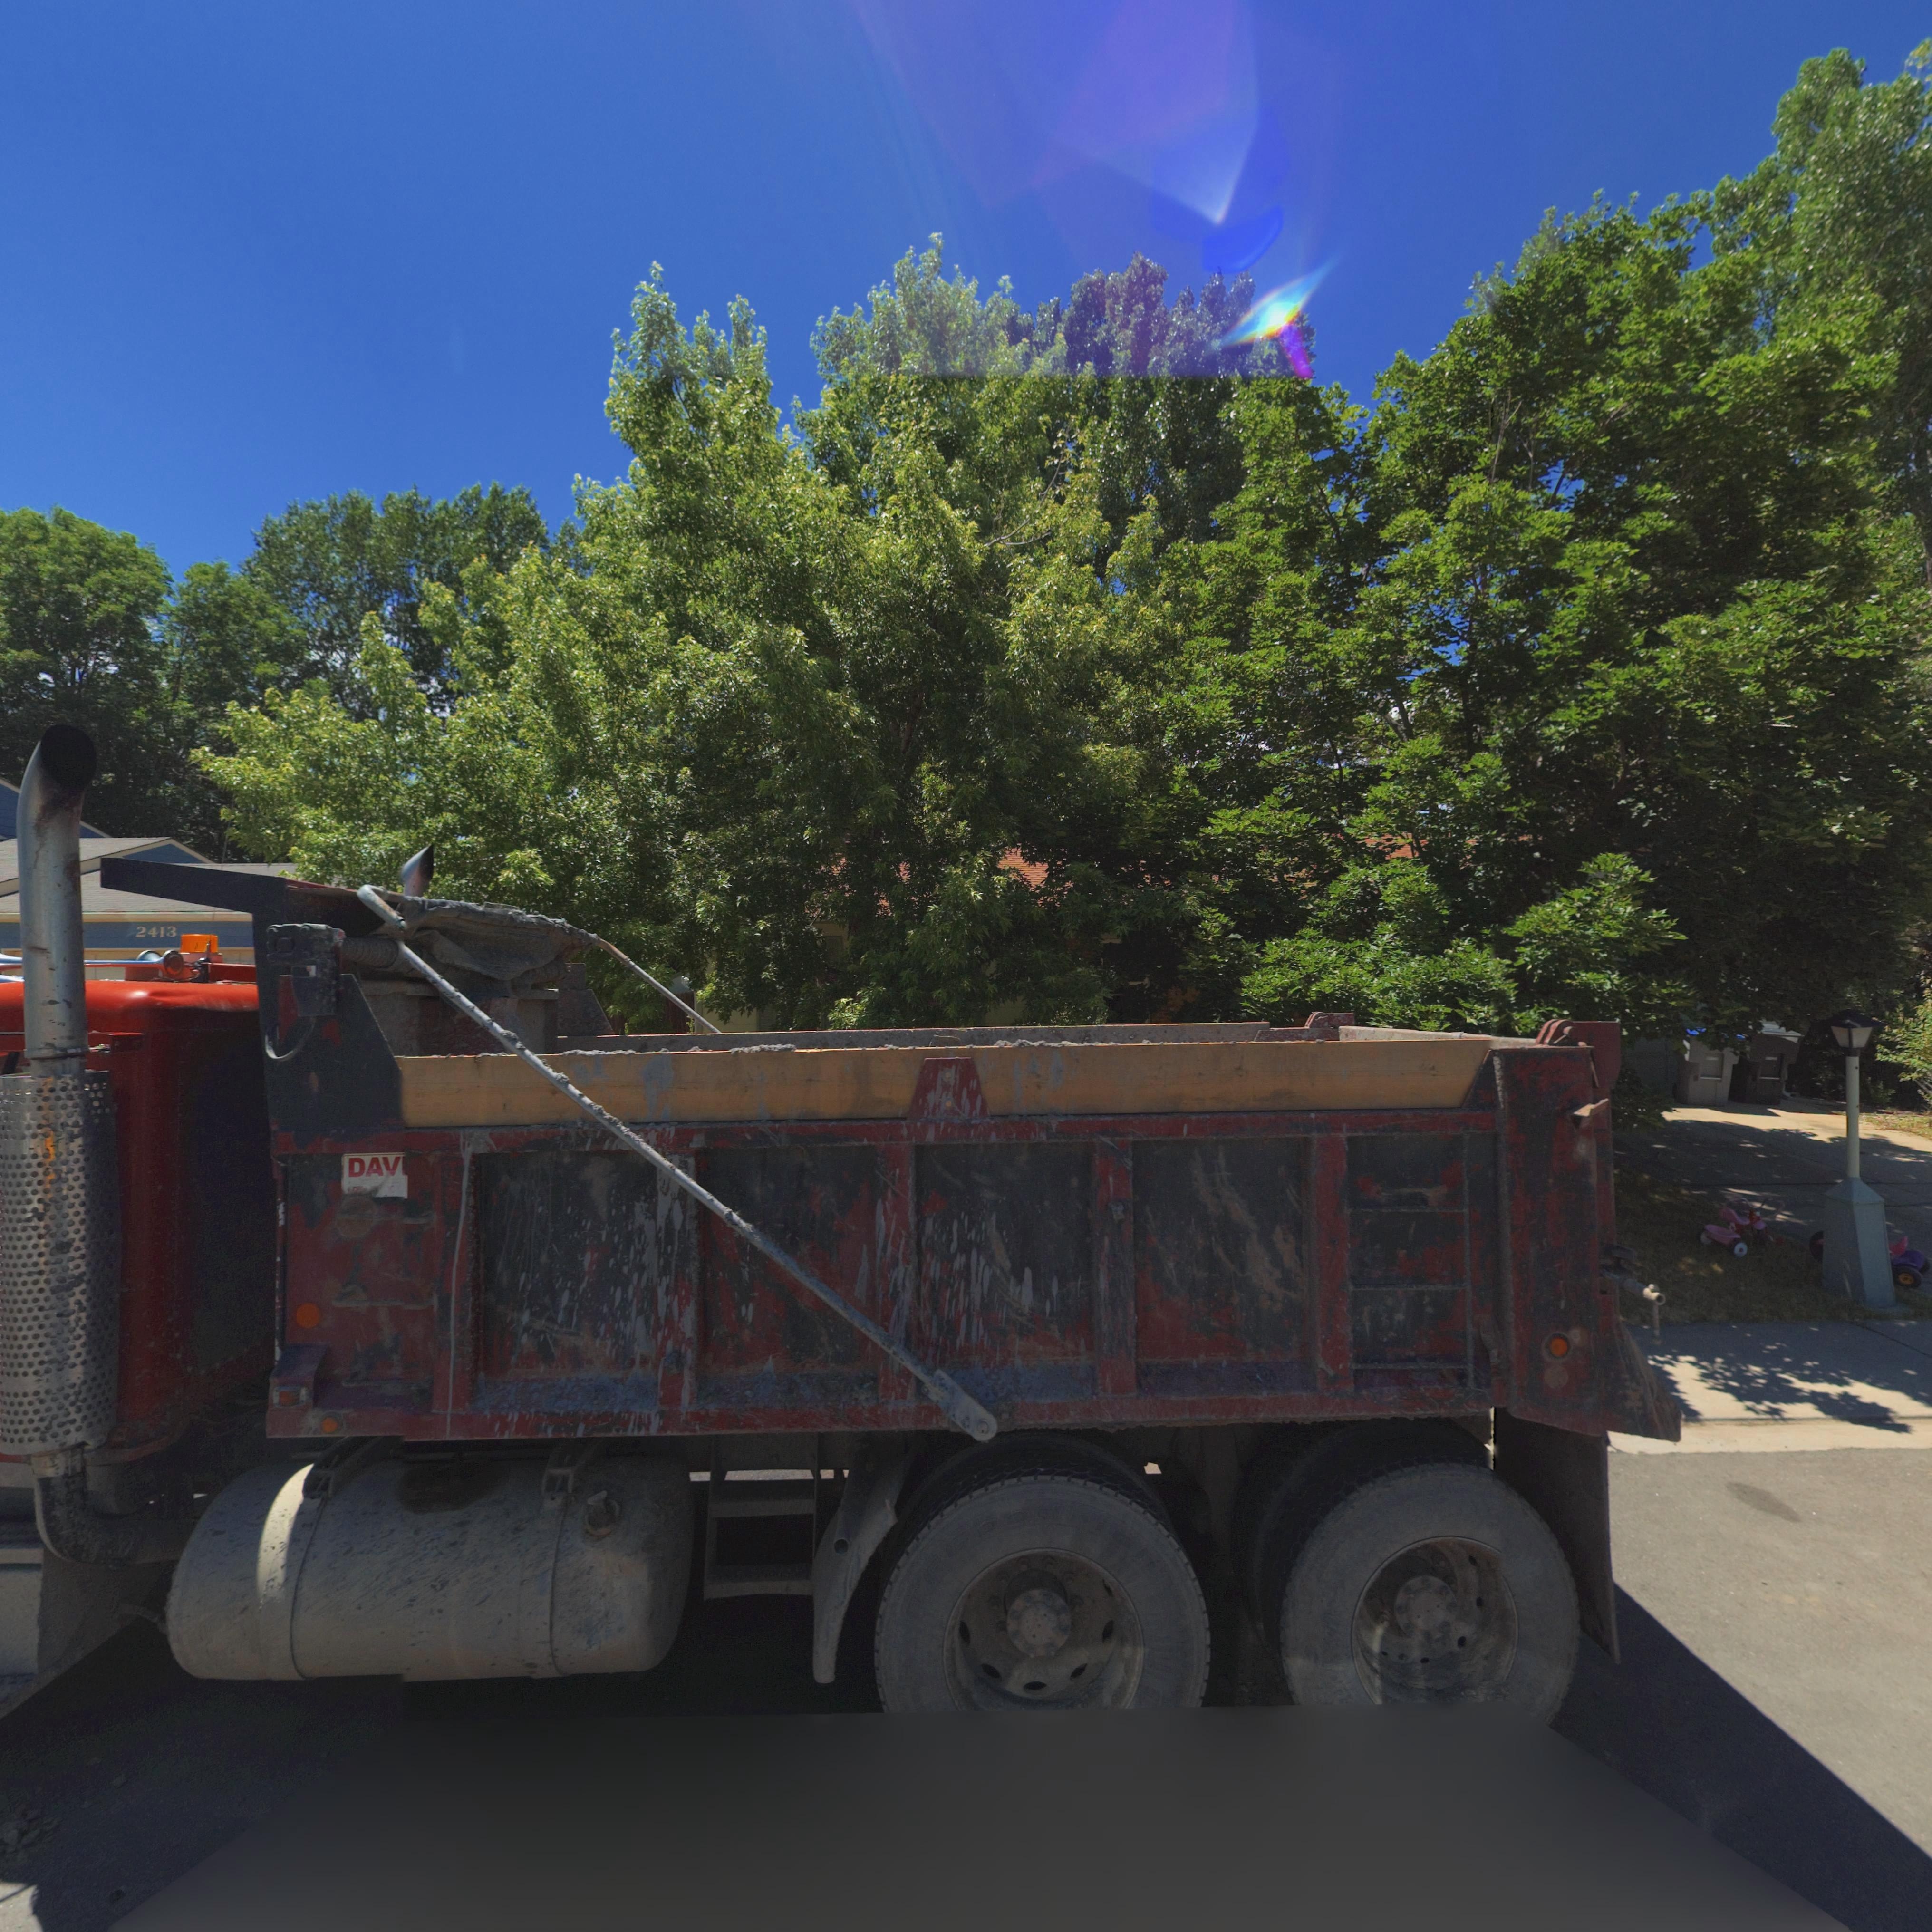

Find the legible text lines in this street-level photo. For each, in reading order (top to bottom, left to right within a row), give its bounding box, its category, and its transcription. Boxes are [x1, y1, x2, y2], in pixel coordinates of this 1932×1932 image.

[133, 920, 177, 940] StreetNumber: 2413